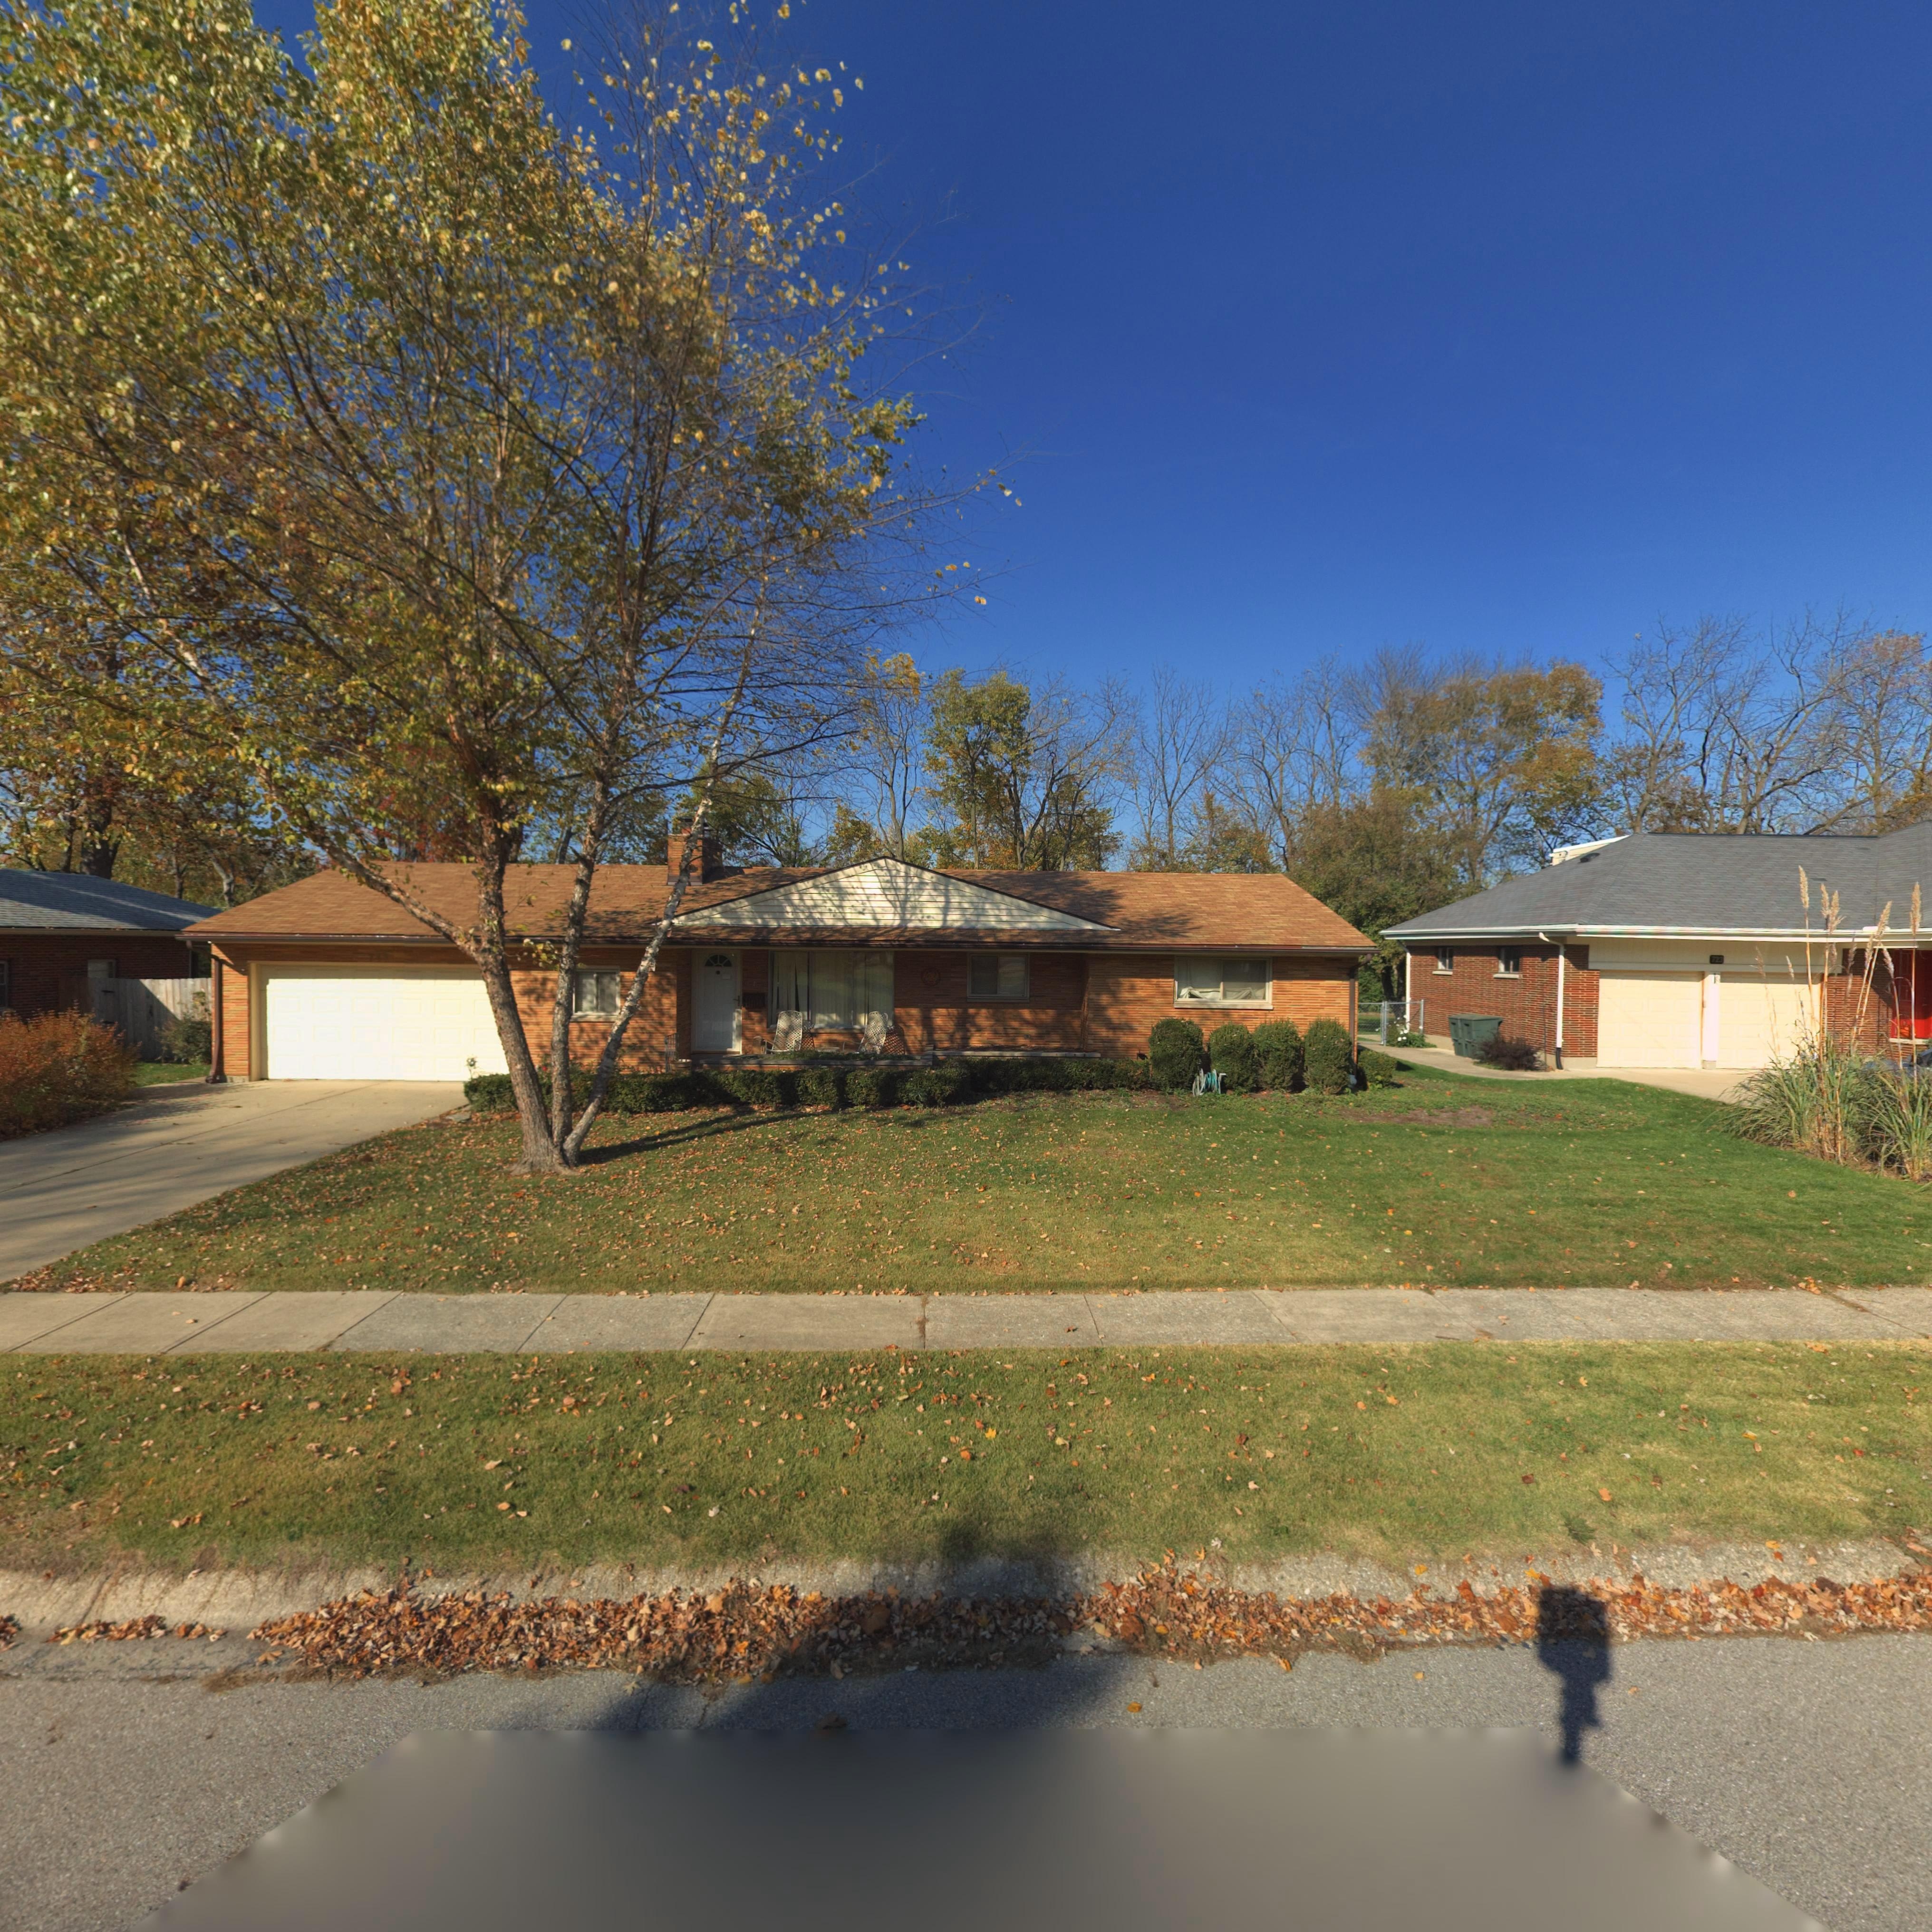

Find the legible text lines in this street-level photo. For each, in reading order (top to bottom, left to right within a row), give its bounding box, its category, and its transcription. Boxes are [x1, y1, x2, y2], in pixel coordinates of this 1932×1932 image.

[1710, 955, 1724, 964] StreetNumber: 723